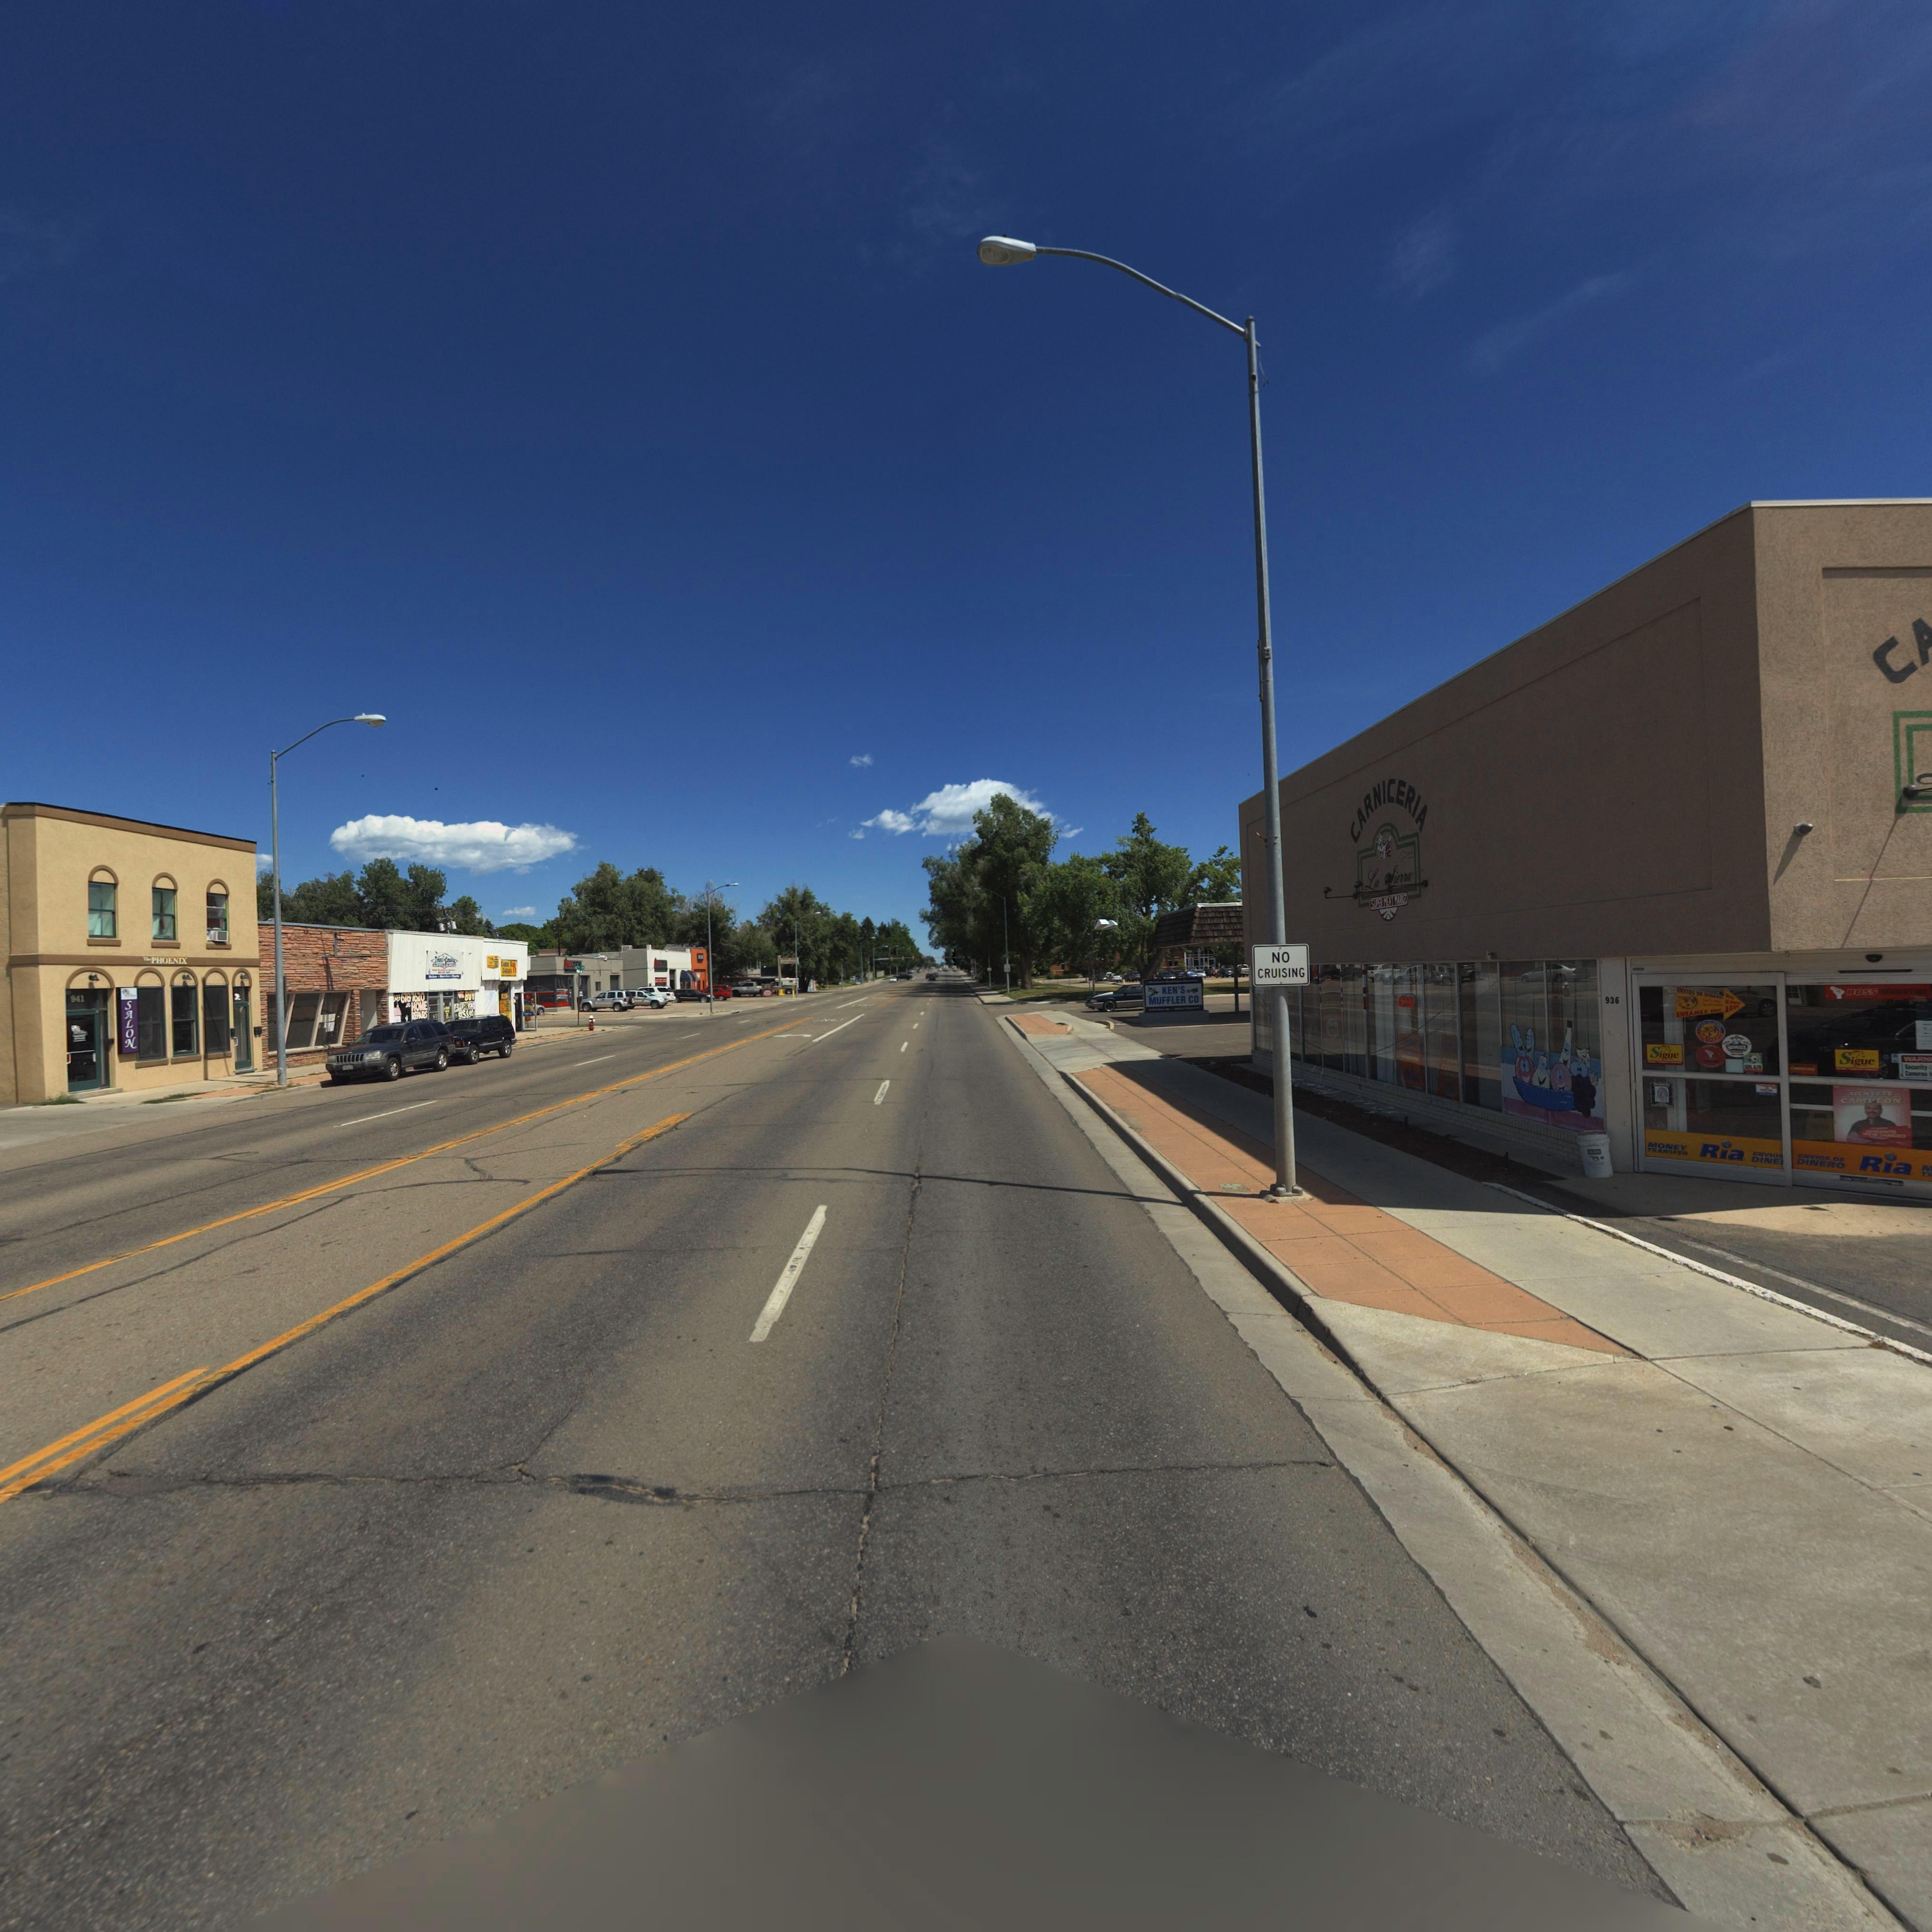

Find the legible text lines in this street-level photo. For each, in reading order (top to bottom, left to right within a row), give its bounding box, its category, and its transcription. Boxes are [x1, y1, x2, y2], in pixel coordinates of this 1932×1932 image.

[1350, 778, 1428, 843] BusinessName: CARNICERIA
[1363, 864, 1413, 890] BusinessName: La *ierra
[142, 956, 187, 965] BusinessName: The PHOENIX
[1162, 985, 1185, 995] BusinessName: KEN'S
[70, 994, 85, 1002] StreetNumber: 941
[1149, 995, 1199, 1005] BusinessName: MUFFLER CO
[1604, 995, 1619, 1004] StreetNumber: 936